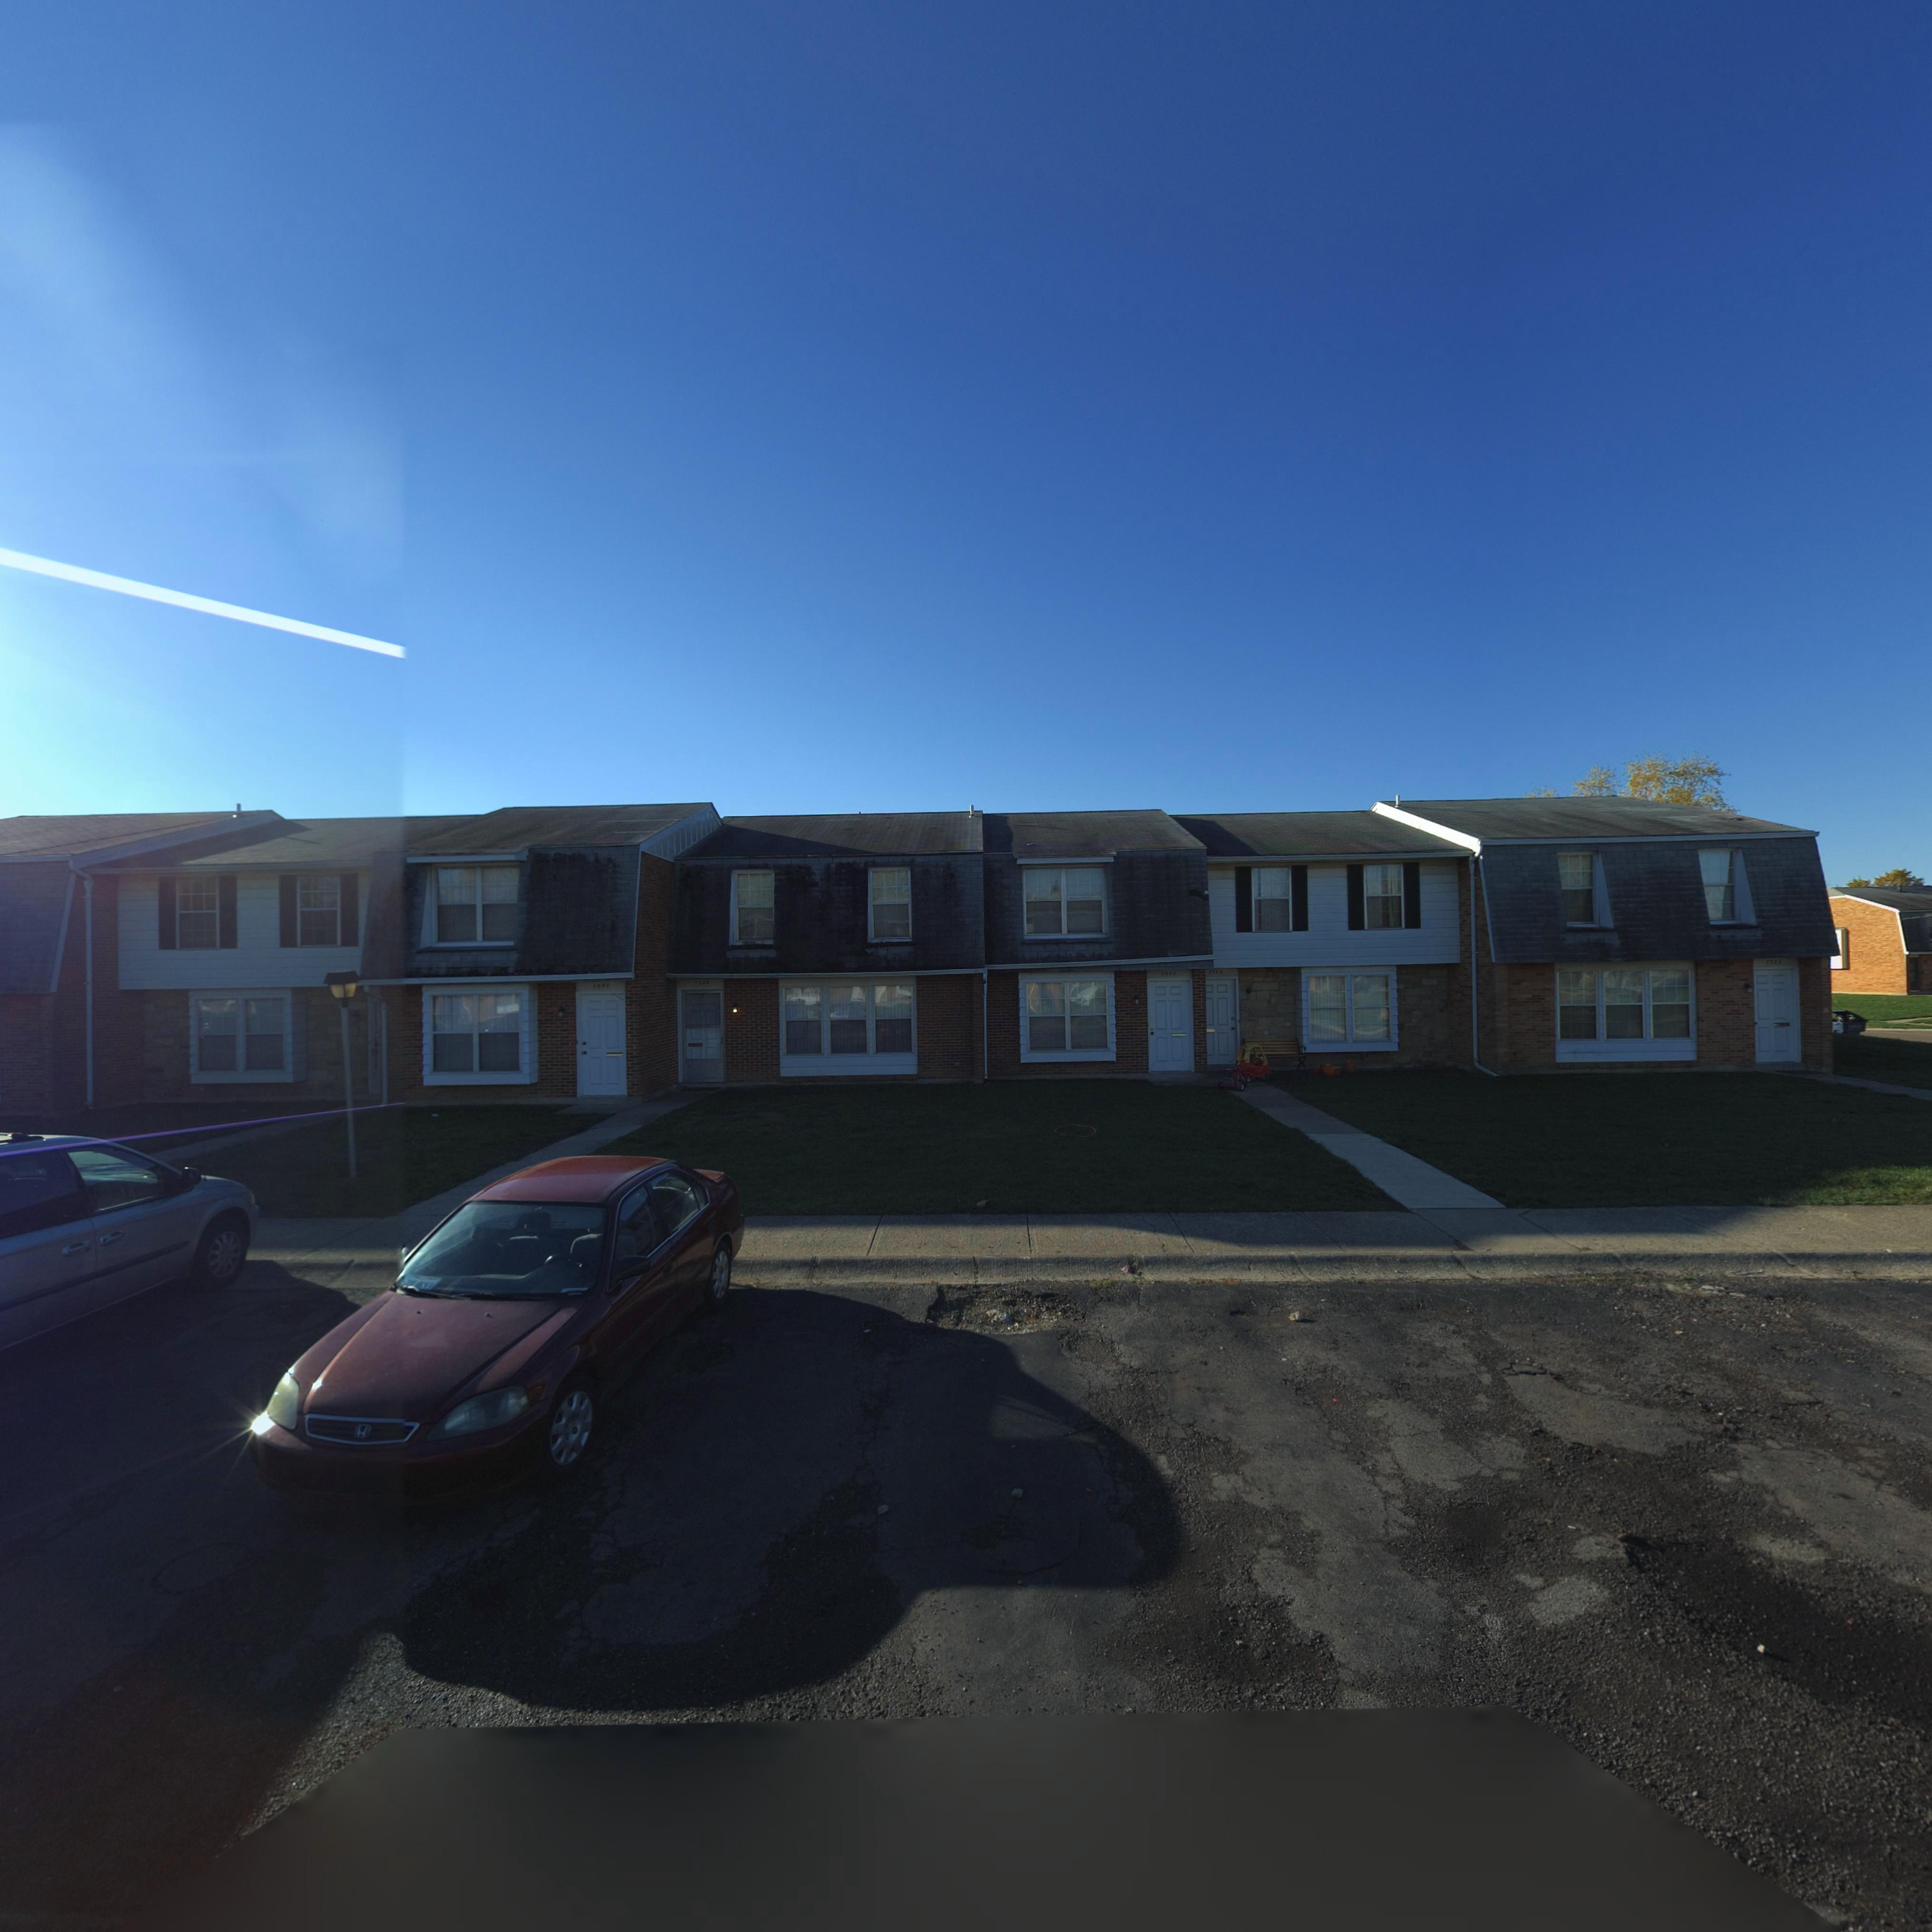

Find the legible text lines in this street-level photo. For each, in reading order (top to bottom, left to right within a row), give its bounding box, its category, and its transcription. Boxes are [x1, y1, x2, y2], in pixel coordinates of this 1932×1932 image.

[1765, 959, 1782, 964] StreetNumber: 7582
[1160, 971, 1176, 976] StreetNumber: 7586
[1208, 969, 1223, 975] StreetNumber: 7584
[694, 979, 711, 985] StreetNumber: 7588
[592, 982, 610, 989] StreetNumber: 7590